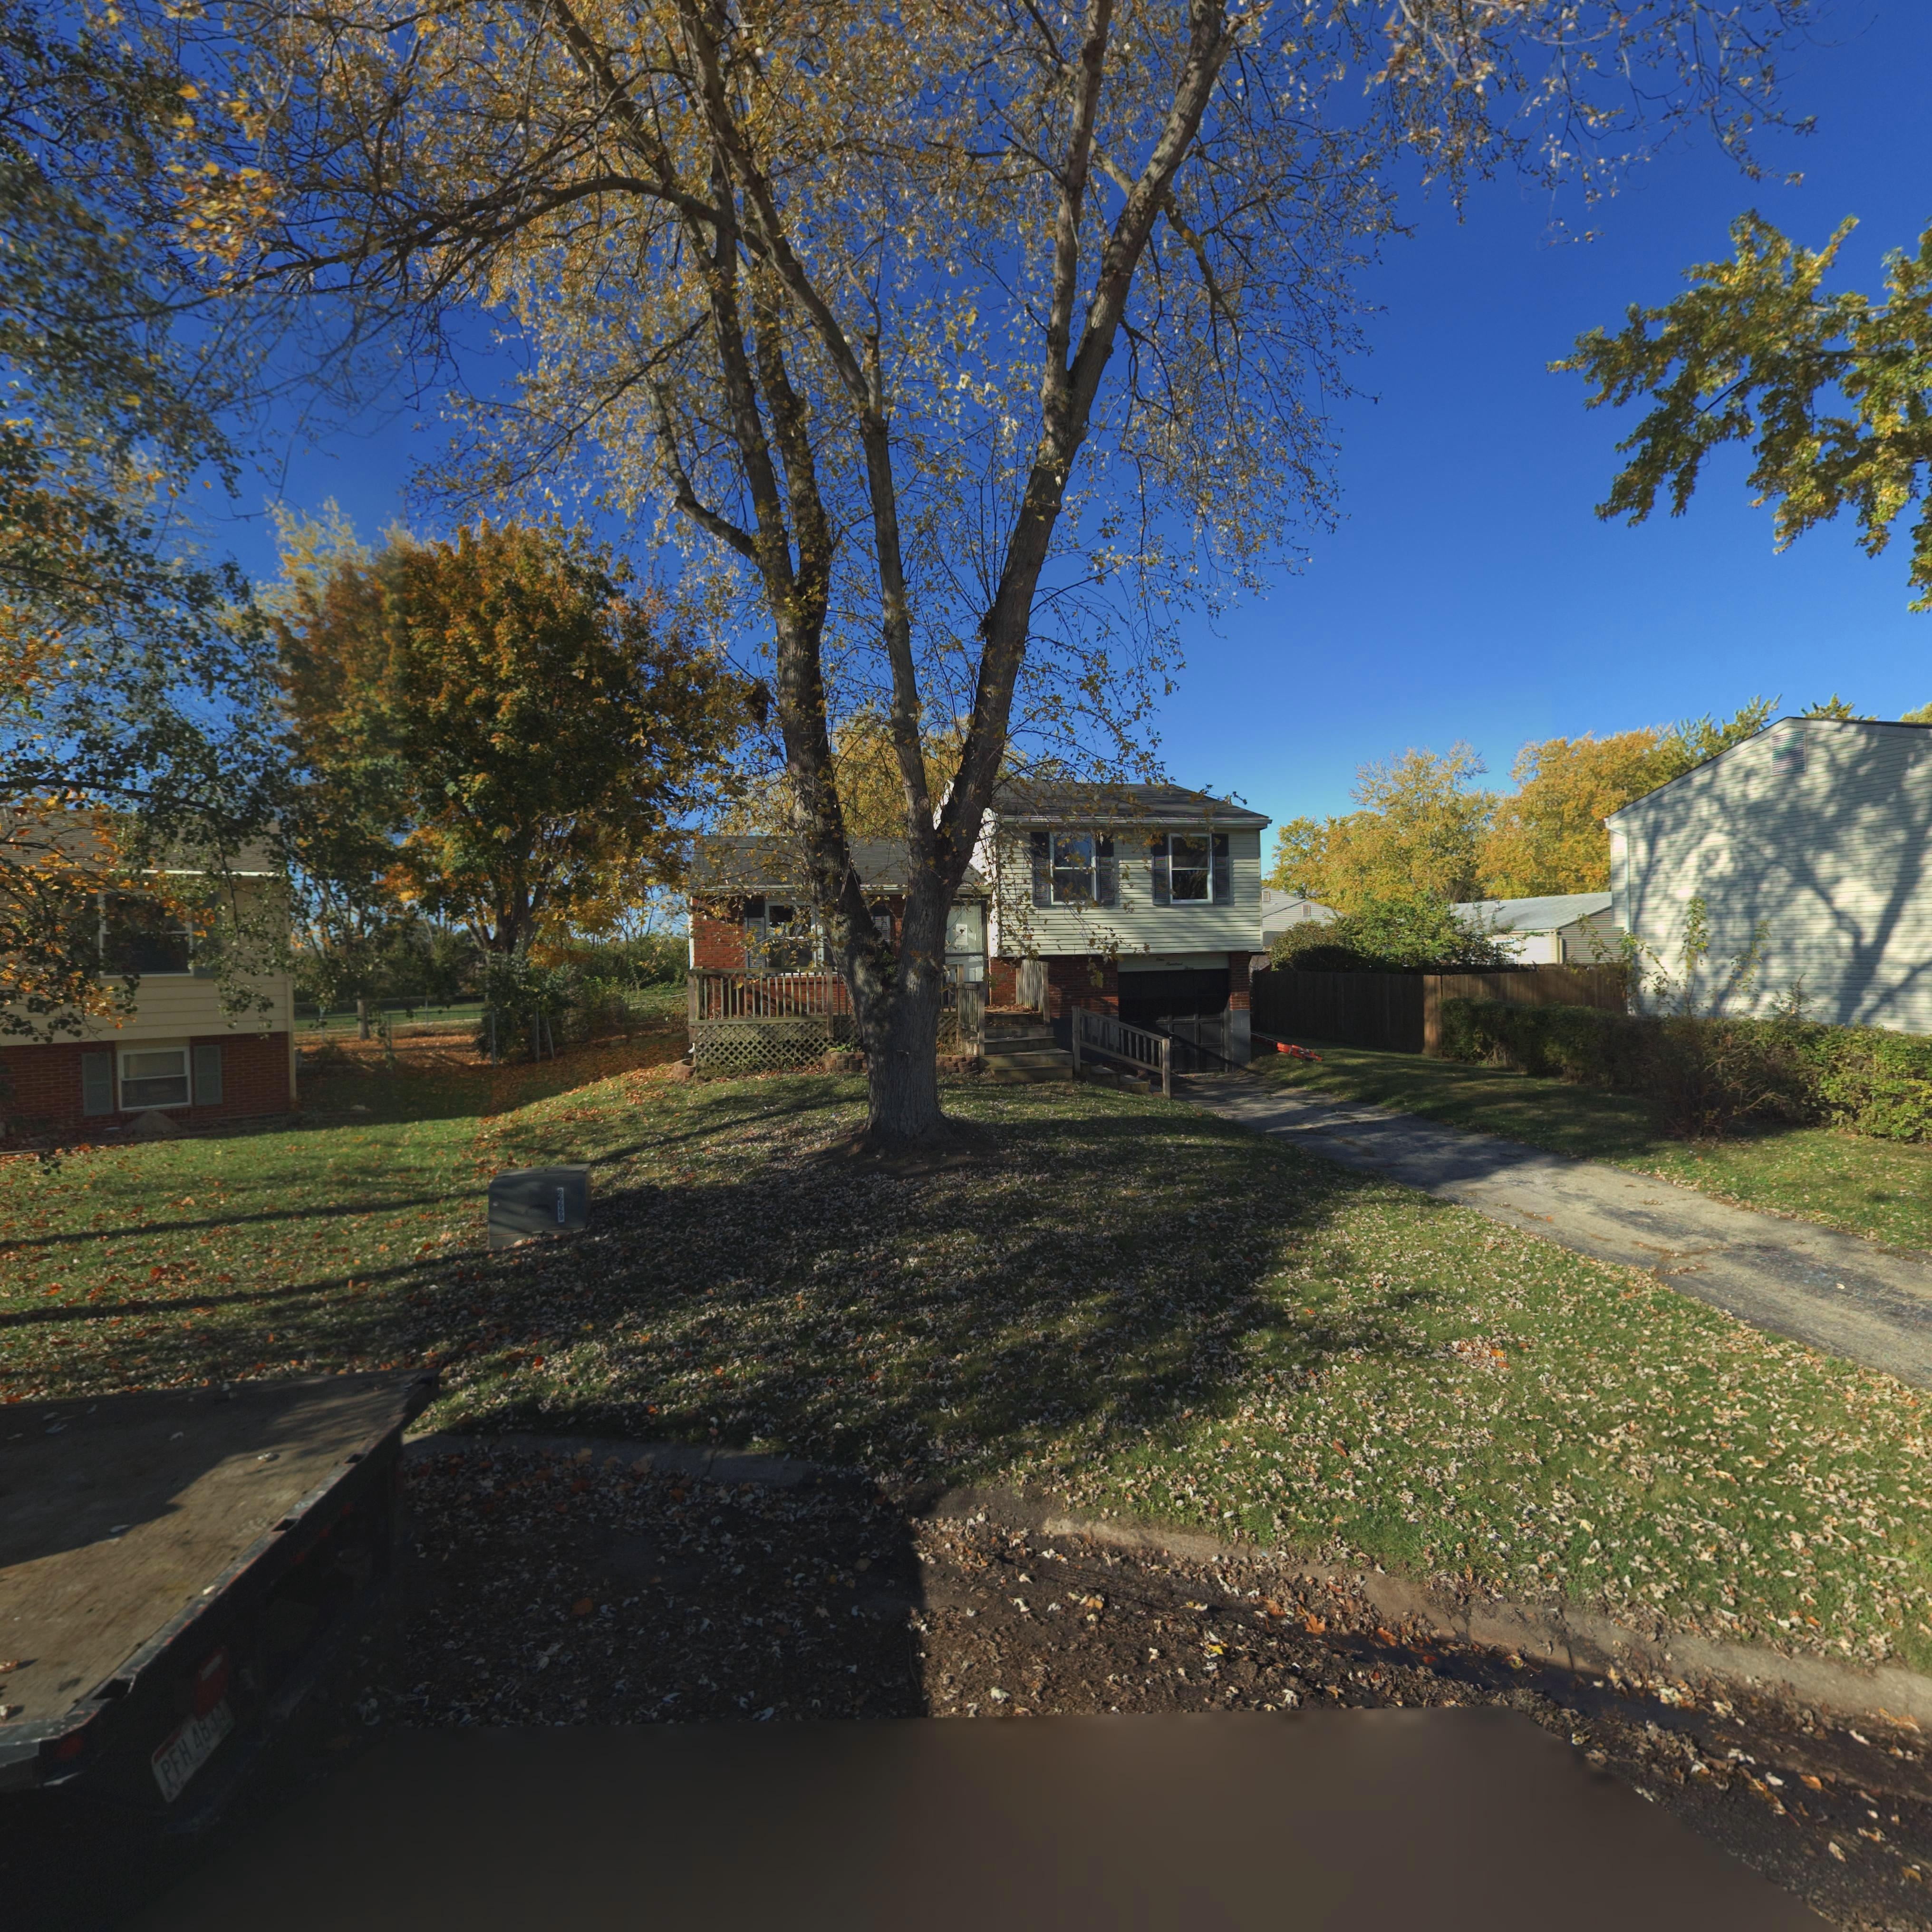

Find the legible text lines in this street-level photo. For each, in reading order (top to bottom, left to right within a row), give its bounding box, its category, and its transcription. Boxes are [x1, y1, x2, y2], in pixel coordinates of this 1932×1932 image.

[1155, 956, 1165, 961] StreetNumber: One
[1183, 966, 1188, 970] StreetNumber: T